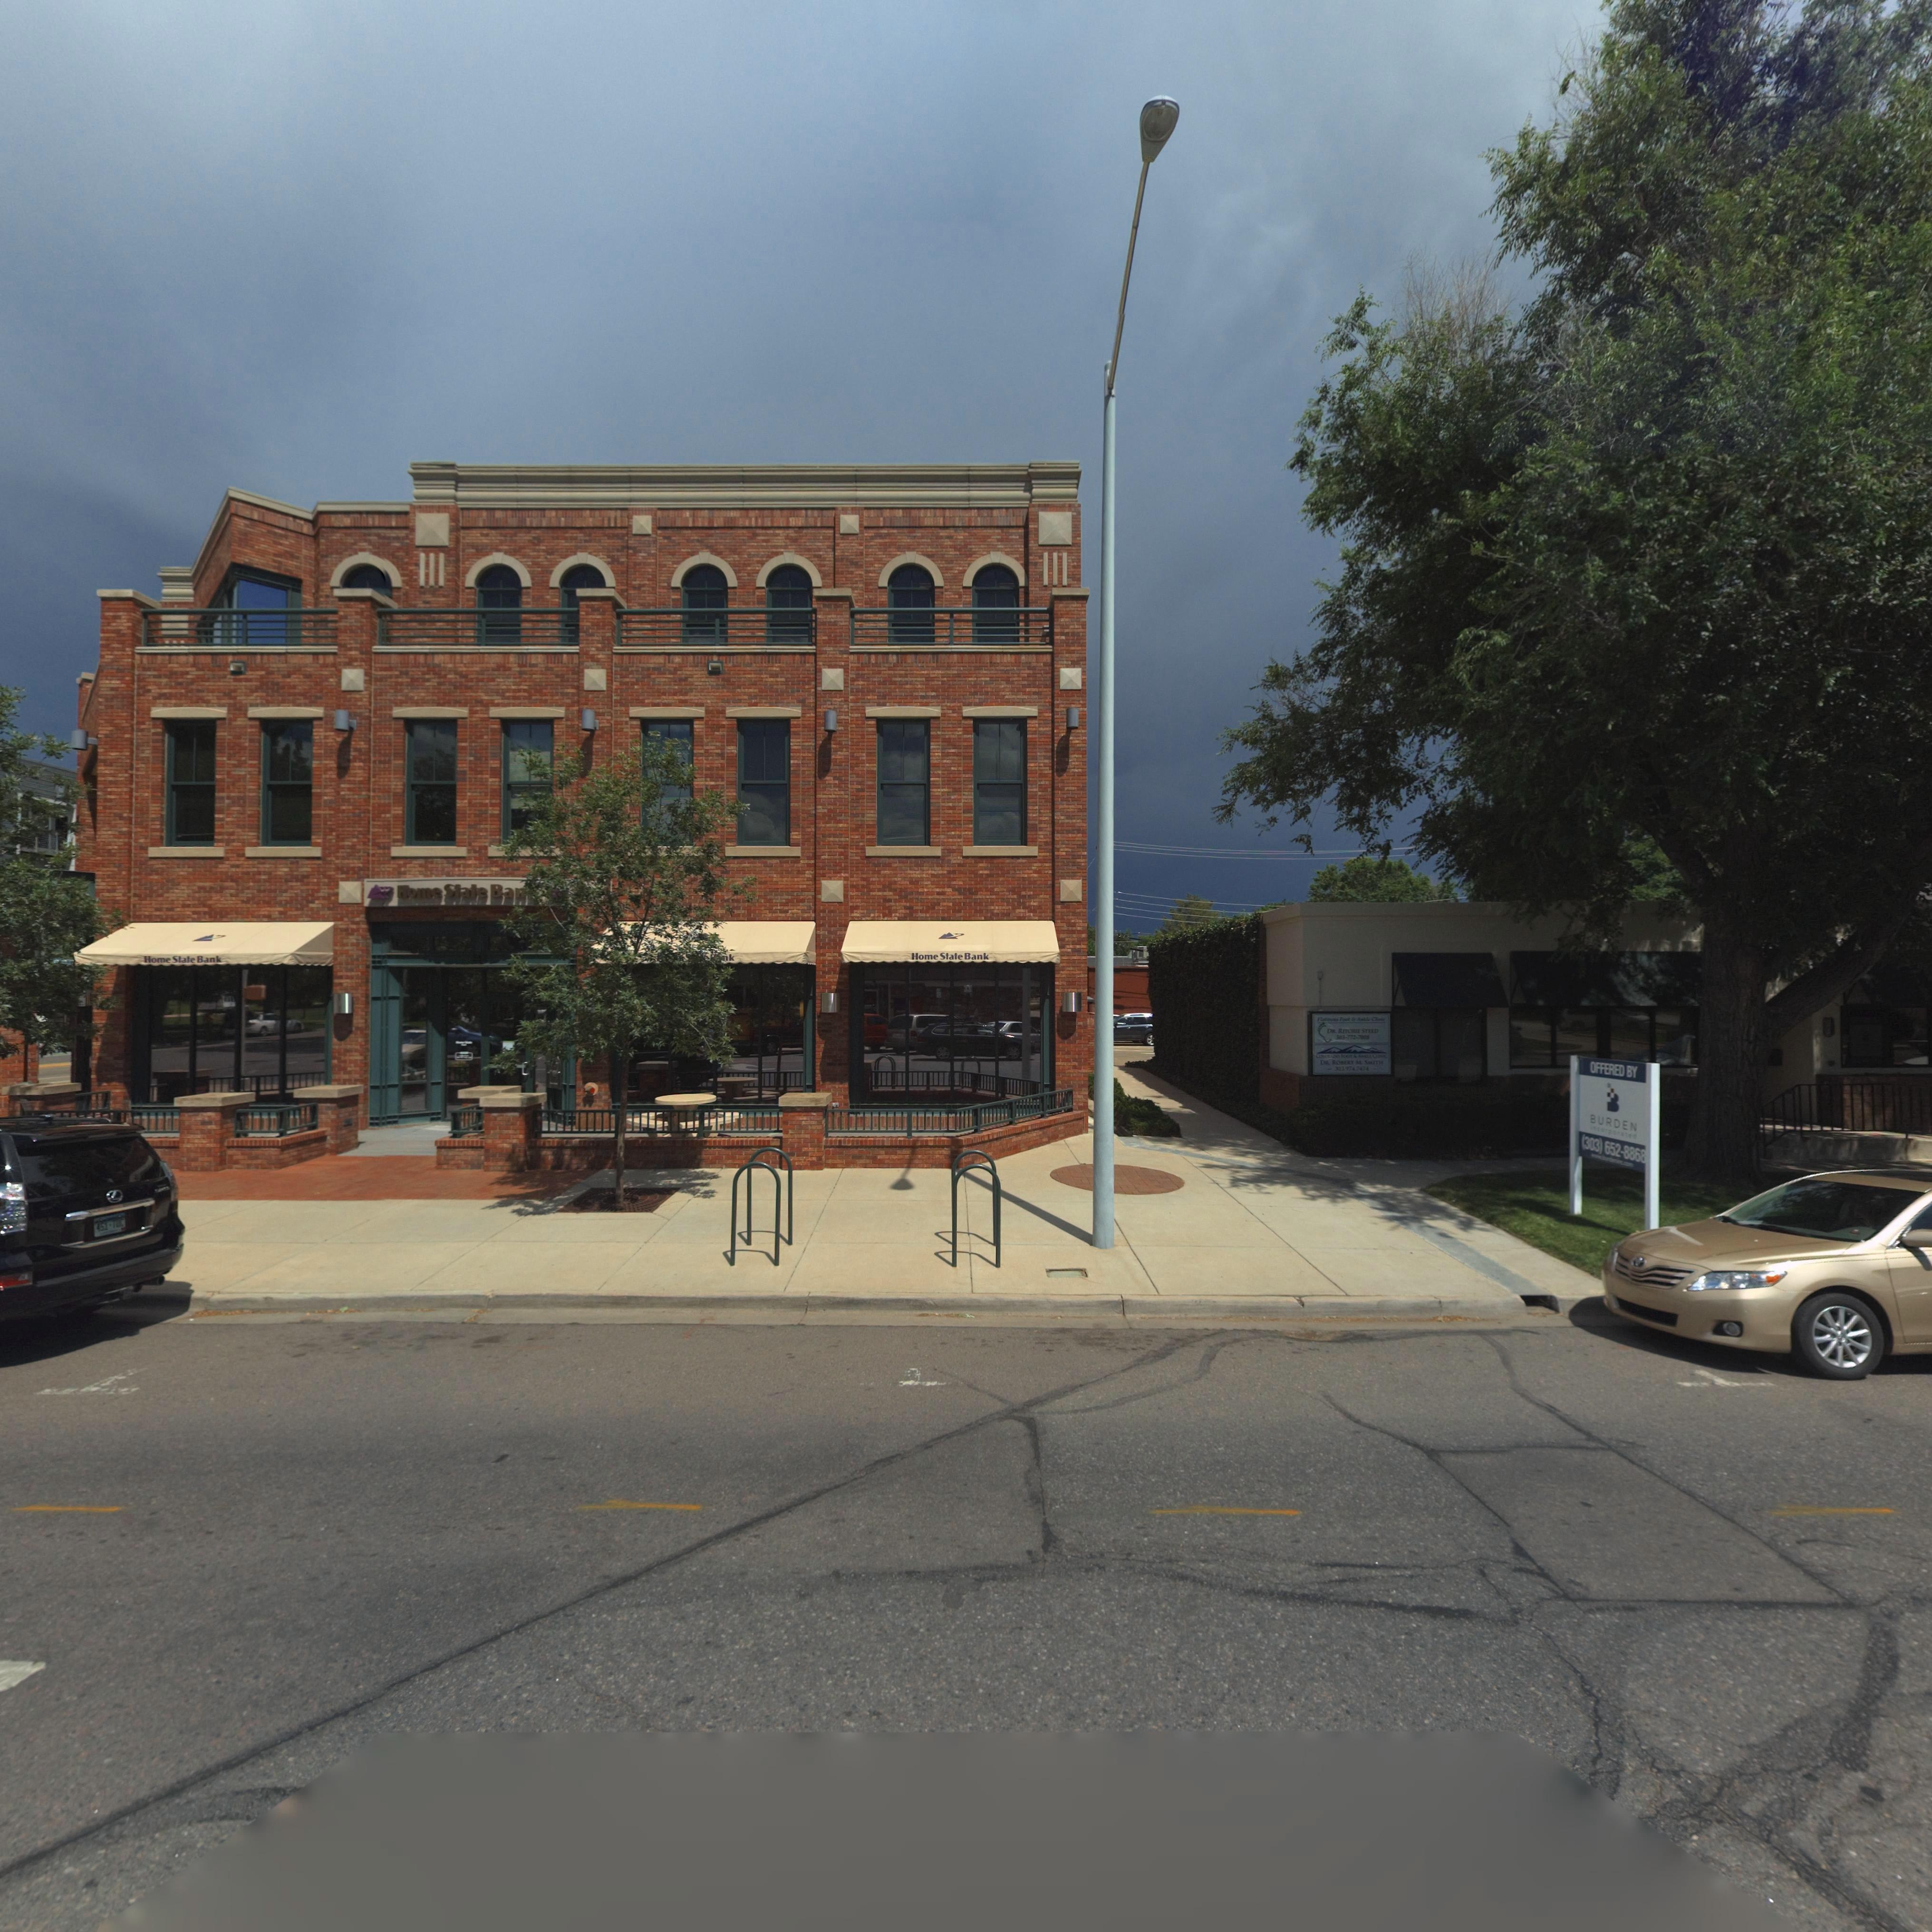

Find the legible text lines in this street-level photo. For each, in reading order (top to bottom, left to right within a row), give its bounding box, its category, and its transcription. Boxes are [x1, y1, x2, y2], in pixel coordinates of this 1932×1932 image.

[396, 883, 541, 899] BusinessName: Home State Ban*
[144, 955, 222, 963] BusinessName: Home State Bank
[710, 953, 734, 961] BusinessName: **nk
[911, 951, 989, 960] BusinessName: Home State Bank
[1317, 1016, 1386, 1022] BusinessName: Flatirons Foot & Ankle Clinic
[1326, 1028, 1379, 1034] BusinessName: DR. RITCHIE STEED
[1315, 1053, 1388, 1059] BusinessName: COLORADO FOOT & A**** CLINIC
[1320, 1059, 1383, 1065] BusinessName:  DR. ROBERT M. SMITH